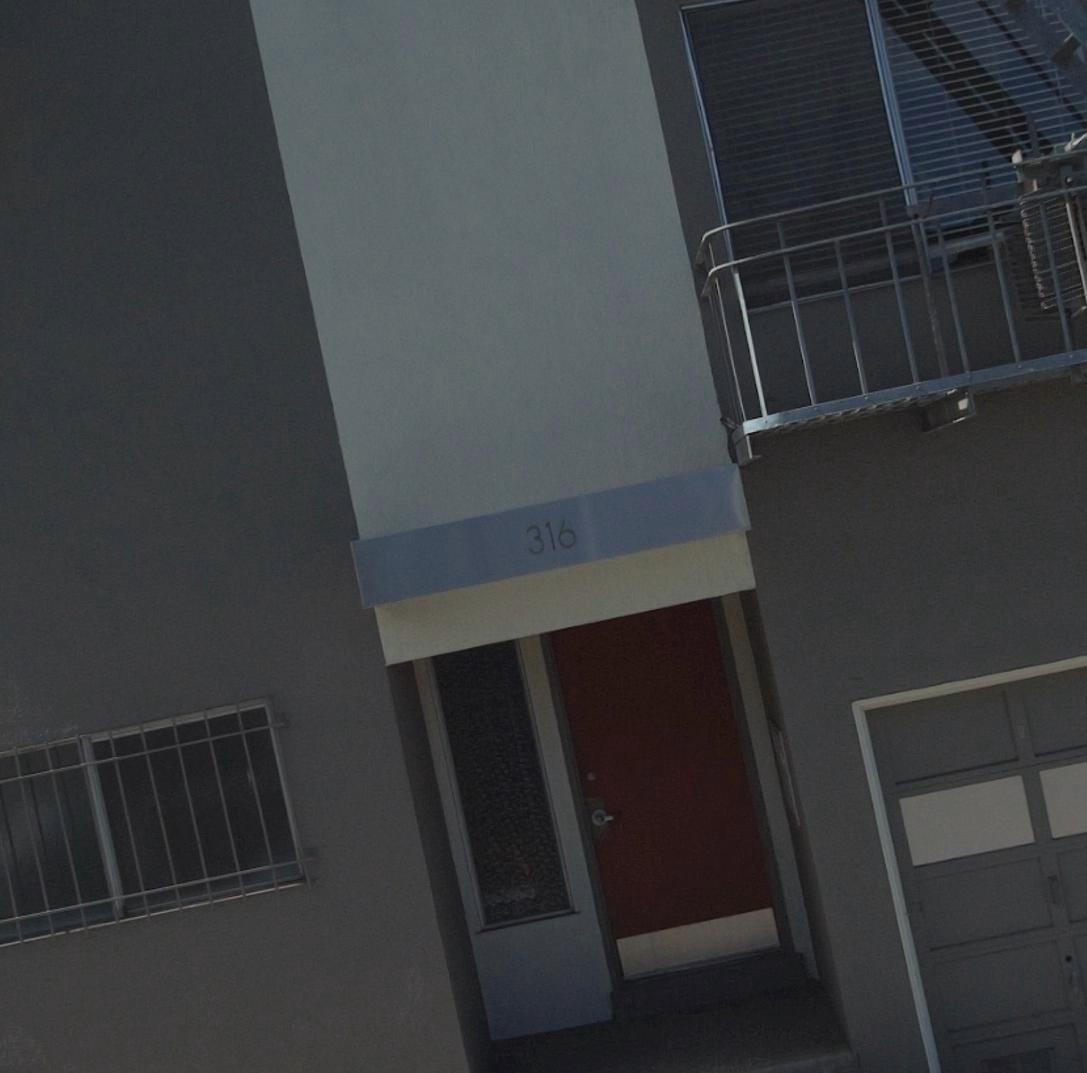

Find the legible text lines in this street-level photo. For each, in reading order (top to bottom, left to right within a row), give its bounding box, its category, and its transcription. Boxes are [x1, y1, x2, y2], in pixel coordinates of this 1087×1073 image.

[522, 513, 580, 560] StreetNumber: 316